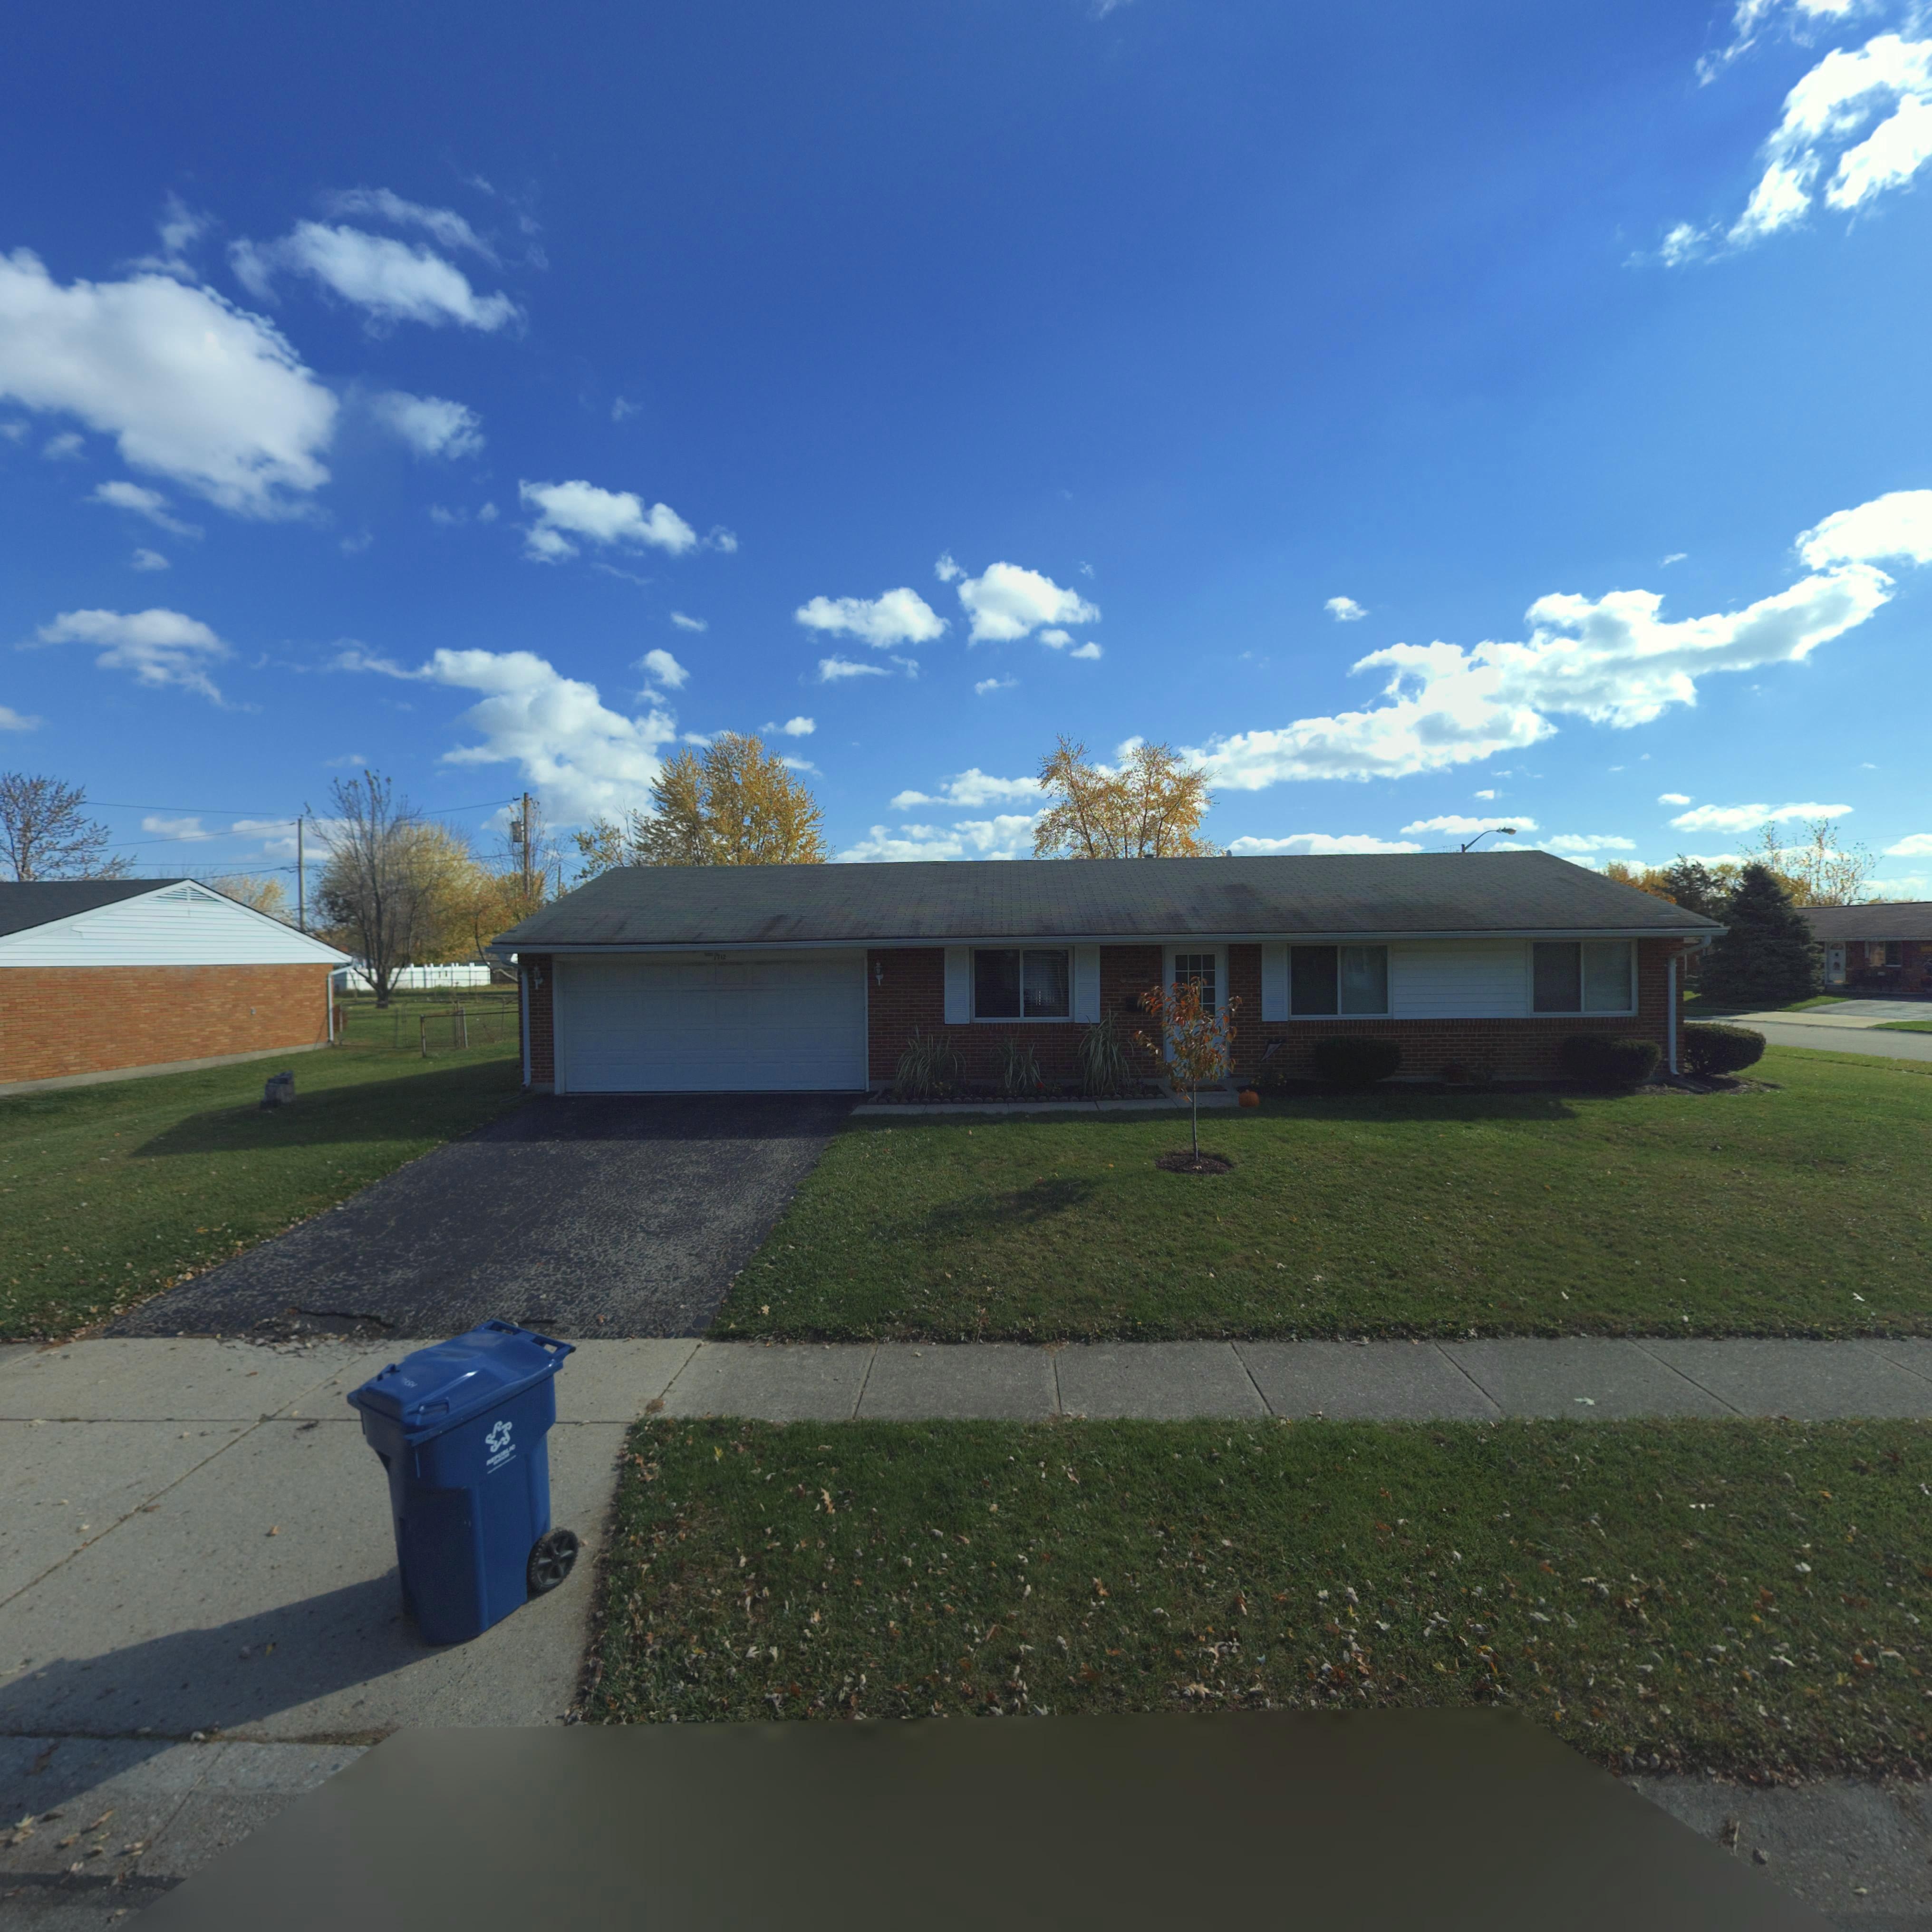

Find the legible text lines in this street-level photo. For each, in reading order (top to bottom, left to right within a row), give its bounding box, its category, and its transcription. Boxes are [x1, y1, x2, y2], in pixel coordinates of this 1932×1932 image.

[713, 953, 727, 962] StreetNumber: *712